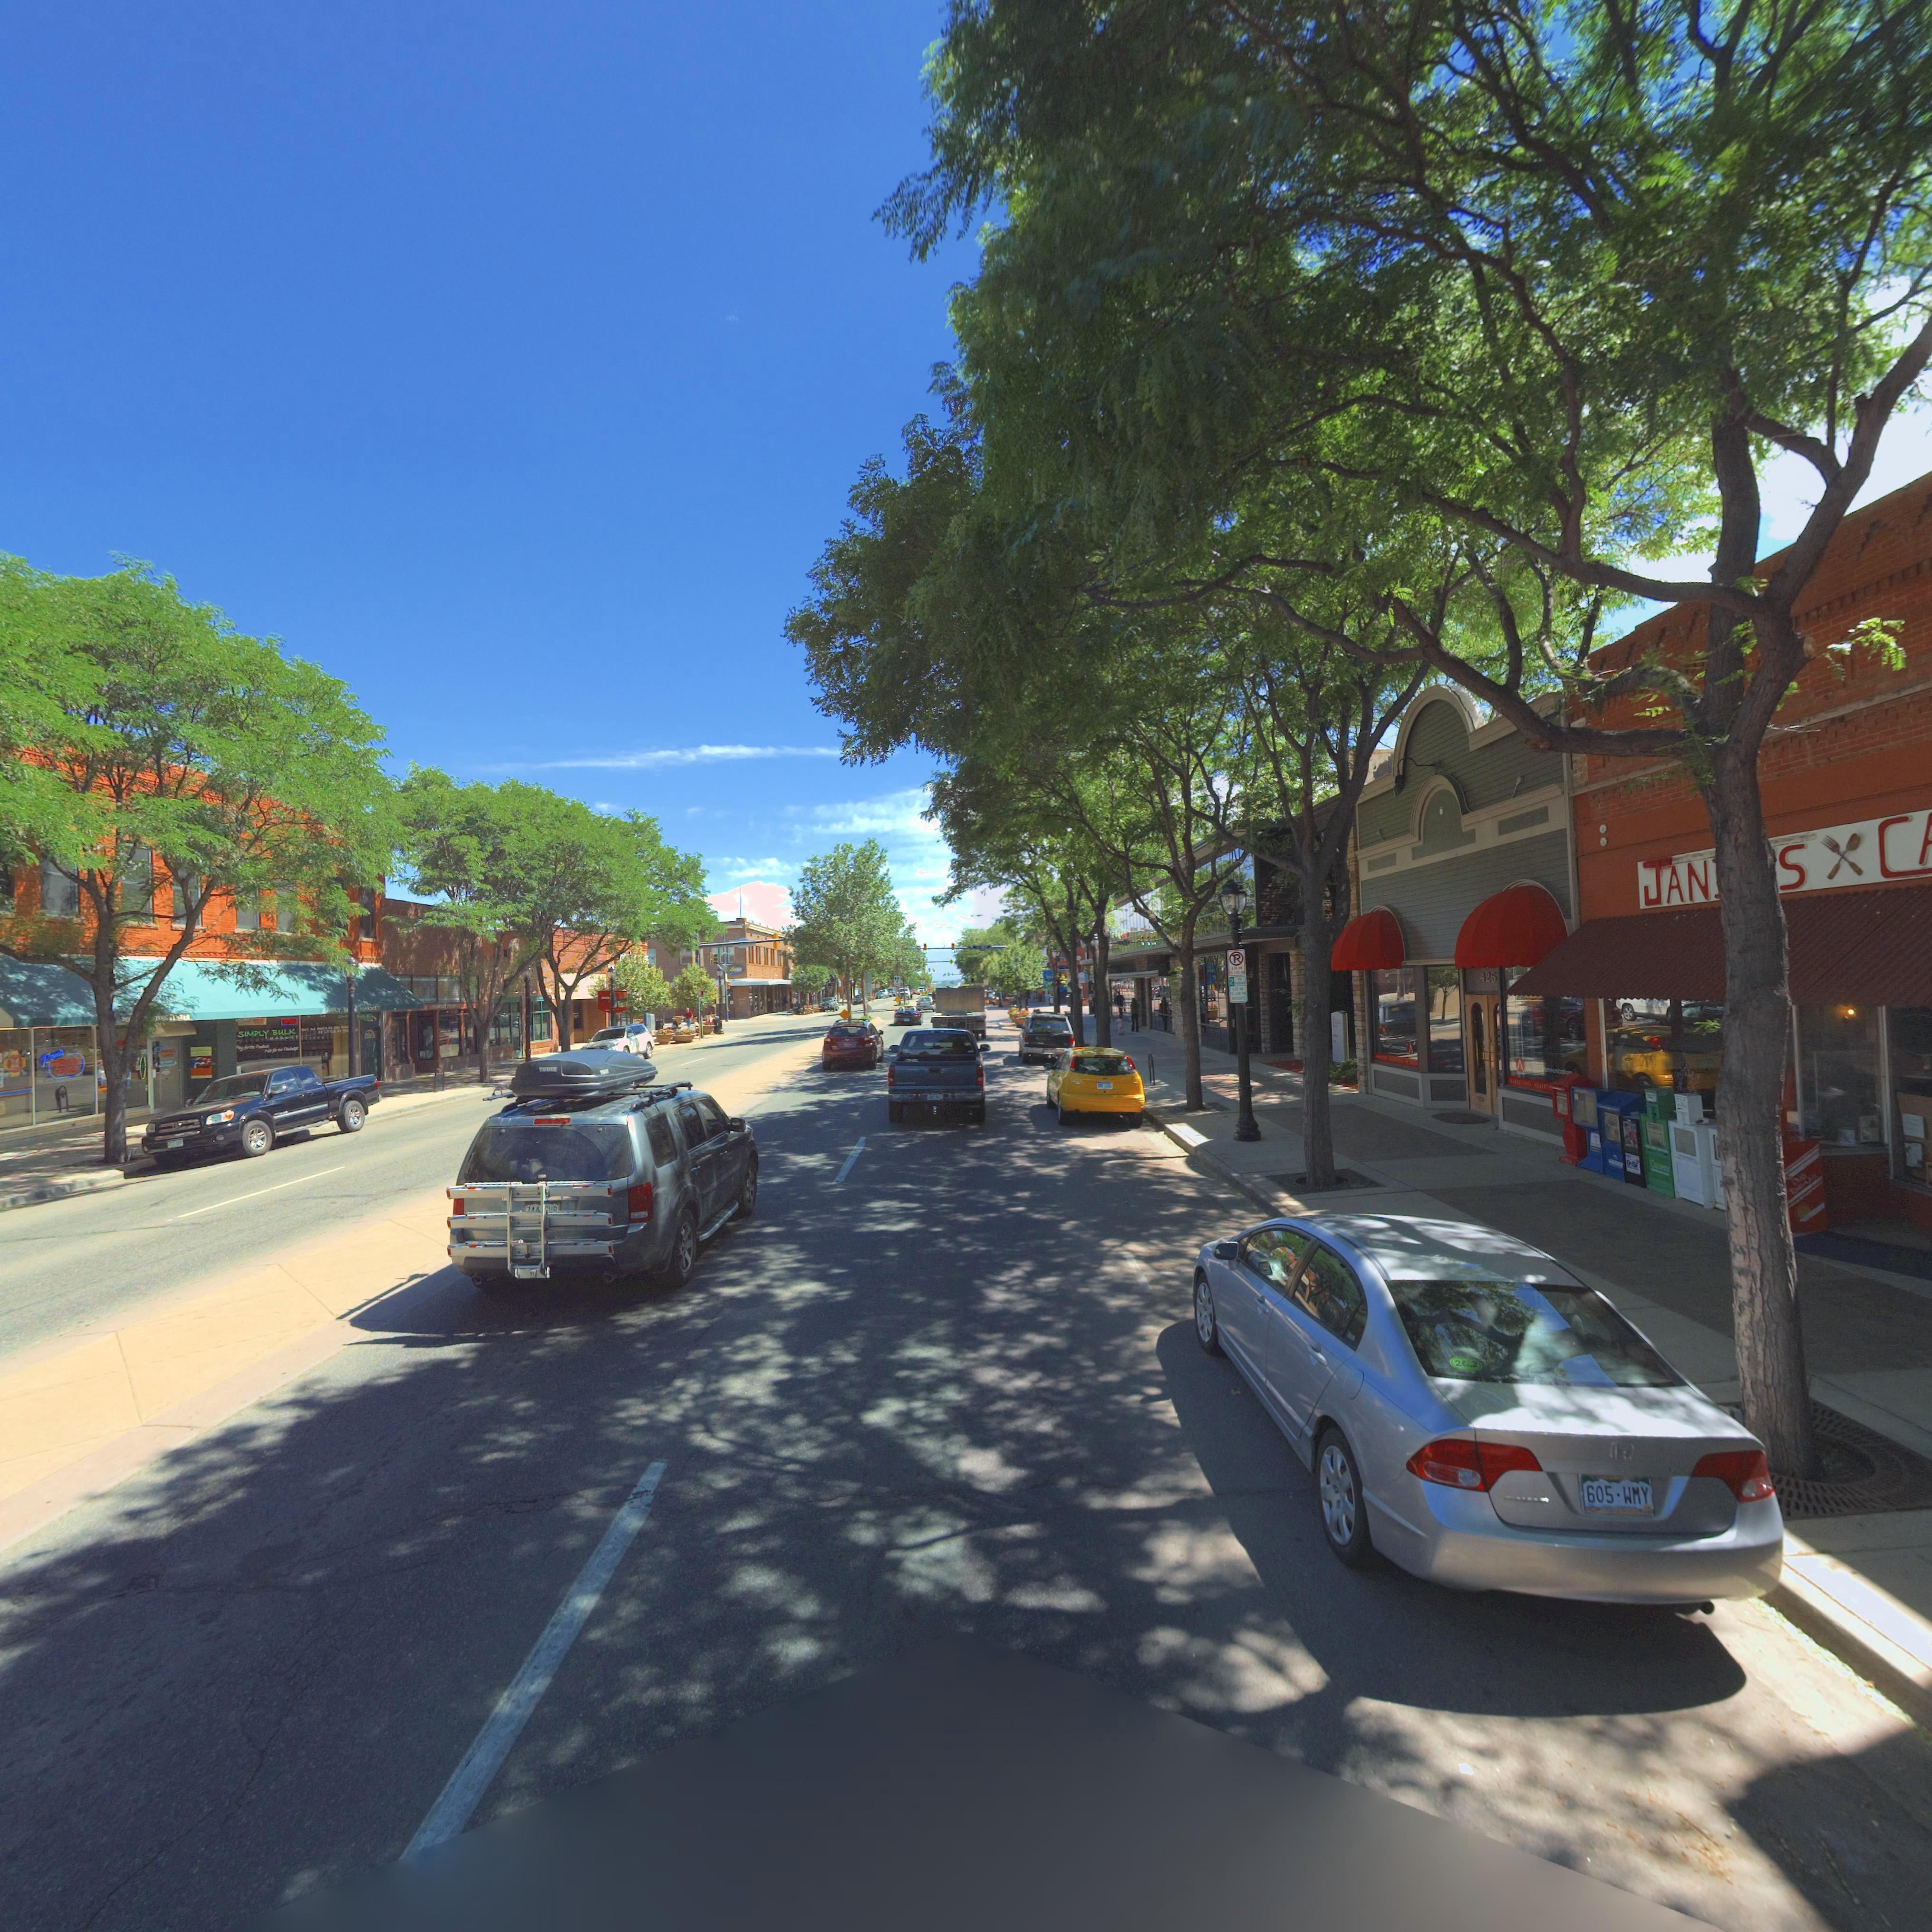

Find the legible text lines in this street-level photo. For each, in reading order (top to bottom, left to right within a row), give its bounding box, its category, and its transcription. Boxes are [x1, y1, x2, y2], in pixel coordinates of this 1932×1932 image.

[1642, 841, 1806, 908] BusinessName: JAN**S
[727, 966, 742, 972] BusinessName: B*******
[1479, 971, 1496, 982] StreetNumber: 425
[322, 1005, 381, 1013] BusinessName: SIMPLY B**K MAR*ET
[179, 1013, 191, 1021] BusinessName: TER
[237, 1028, 297, 1040] BusinessName: SIMPLY BULK
[269, 1034, 299, 1040] BusinessName: MAR**T